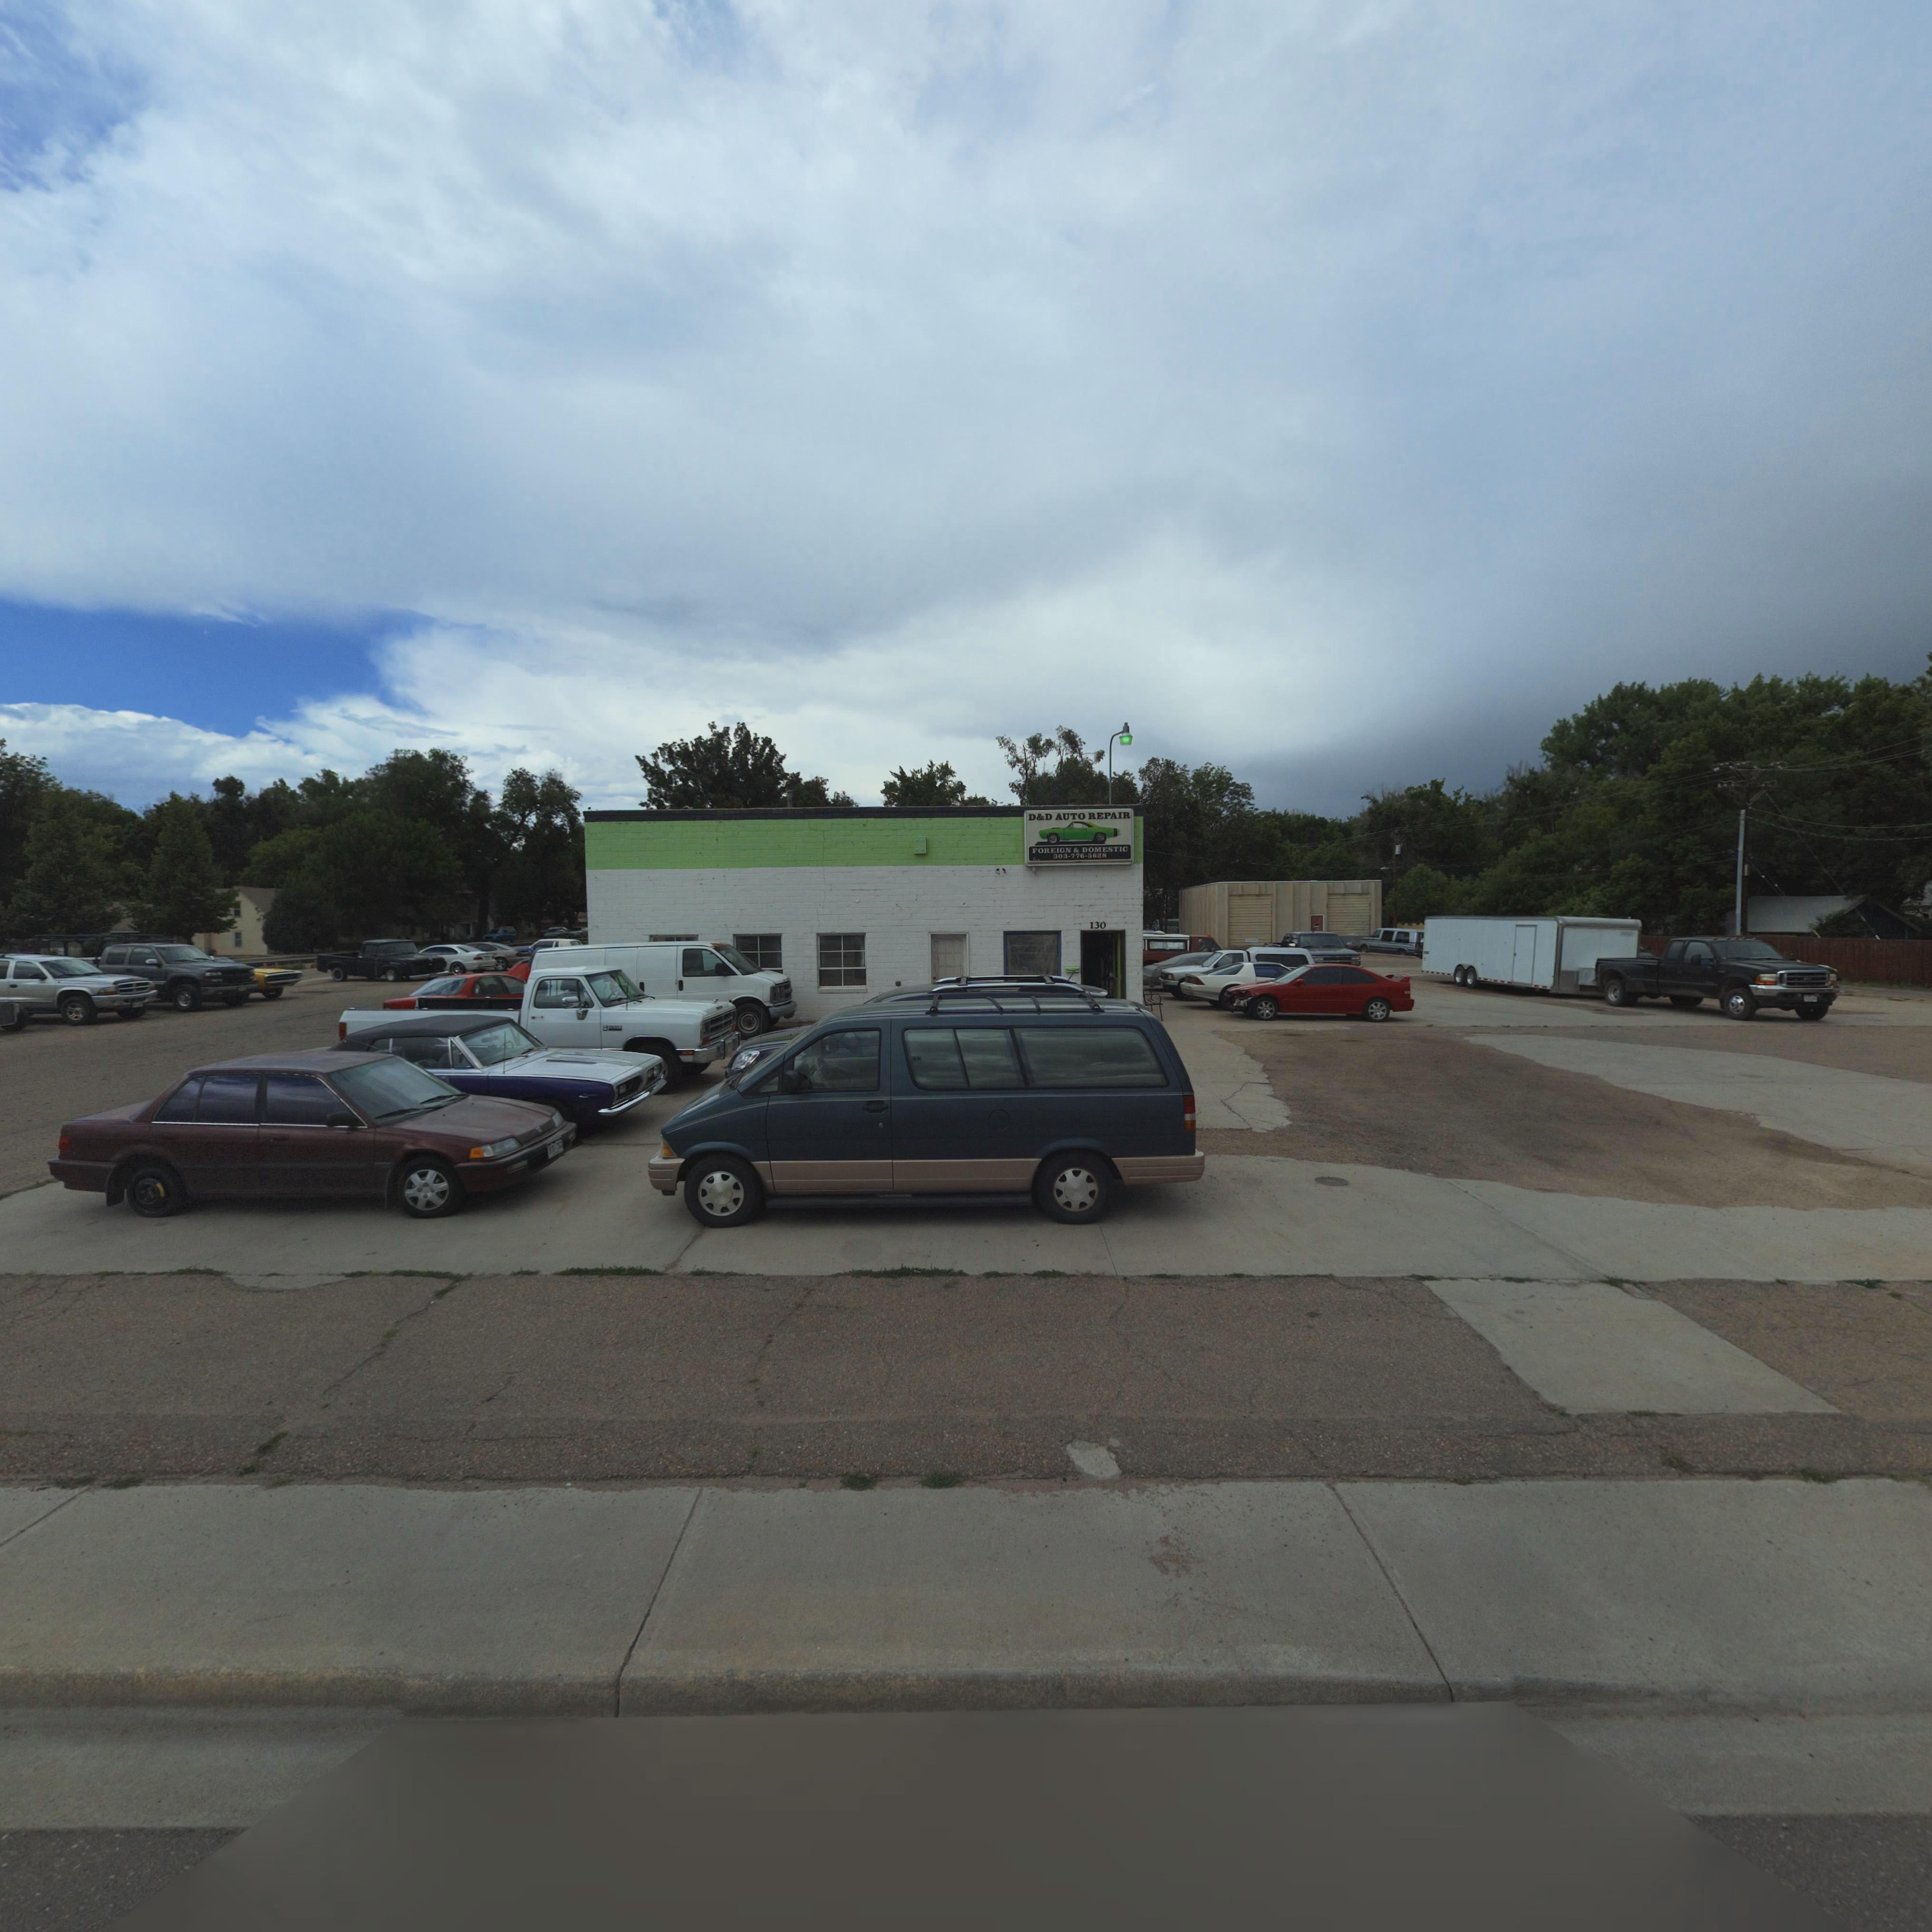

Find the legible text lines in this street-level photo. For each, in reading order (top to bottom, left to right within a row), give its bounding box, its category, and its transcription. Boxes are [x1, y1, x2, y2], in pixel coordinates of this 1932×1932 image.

[1028, 811, 1130, 821] BusinessName: D*D AUTO REPAIR
[1090, 921, 1106, 929] StreetNumber: 130